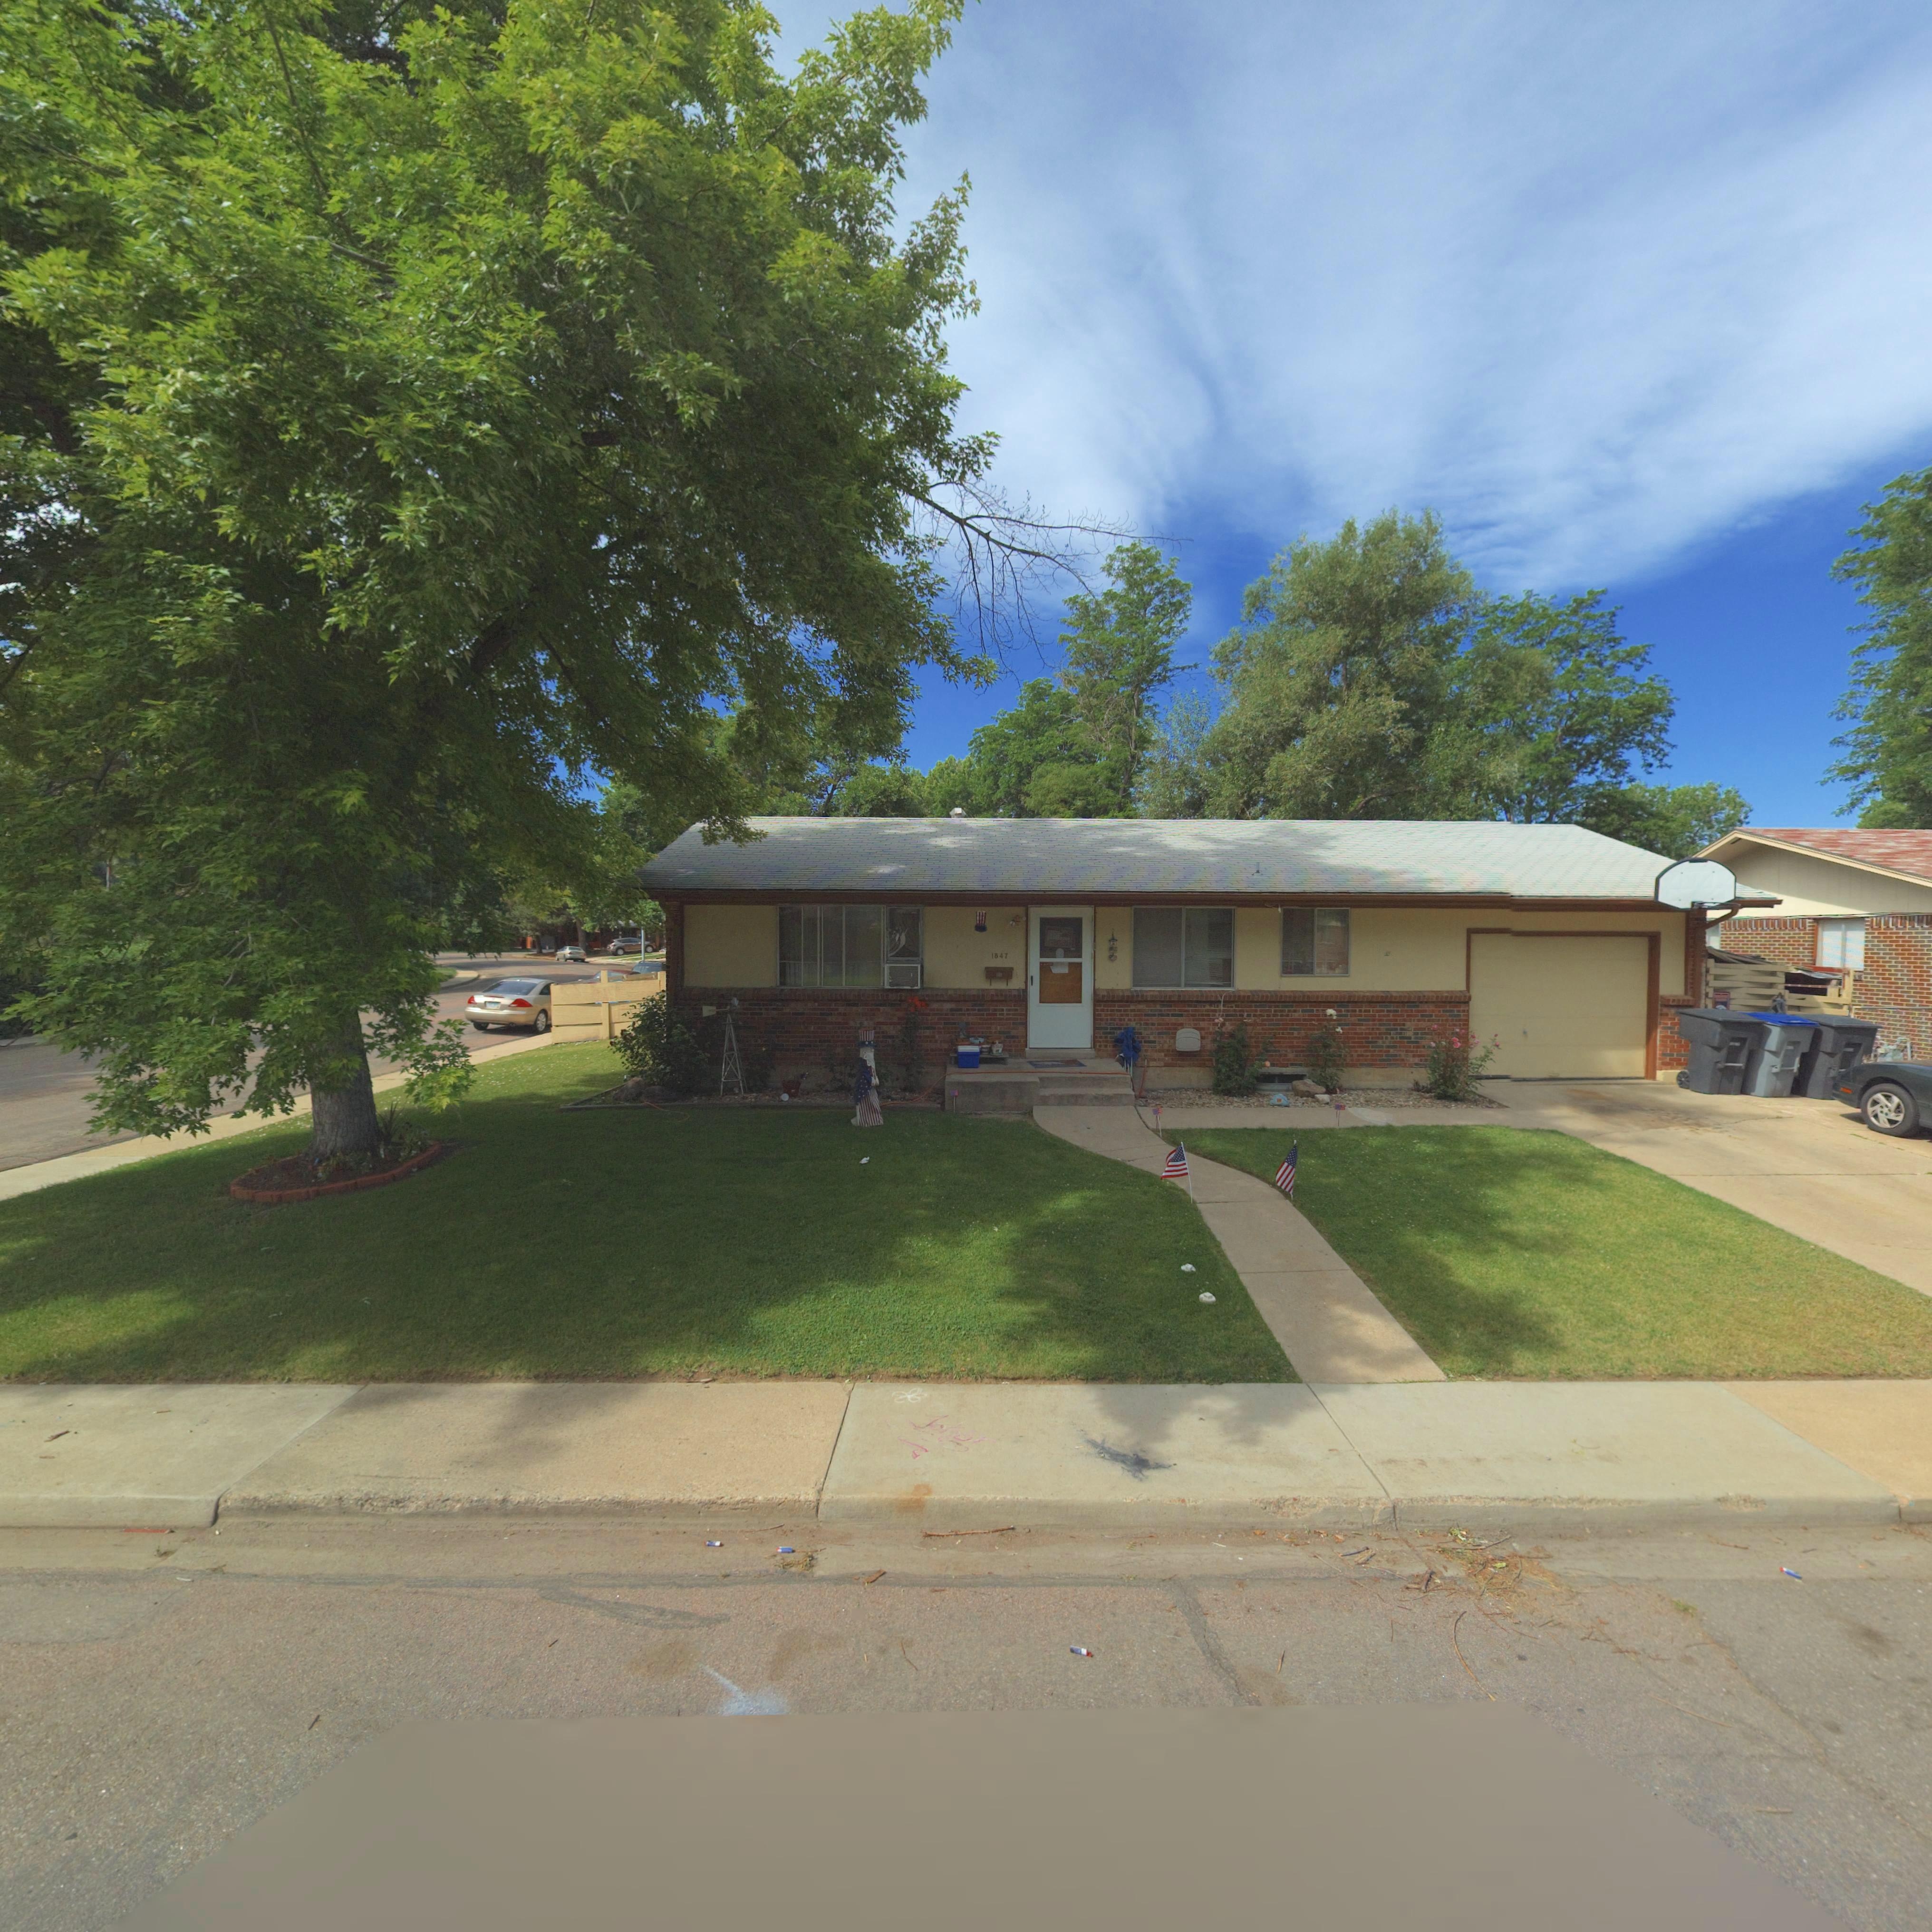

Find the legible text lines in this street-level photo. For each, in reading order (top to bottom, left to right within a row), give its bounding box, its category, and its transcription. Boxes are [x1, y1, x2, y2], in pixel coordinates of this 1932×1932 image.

[991, 952, 1008, 959] StreetNumber: 1847